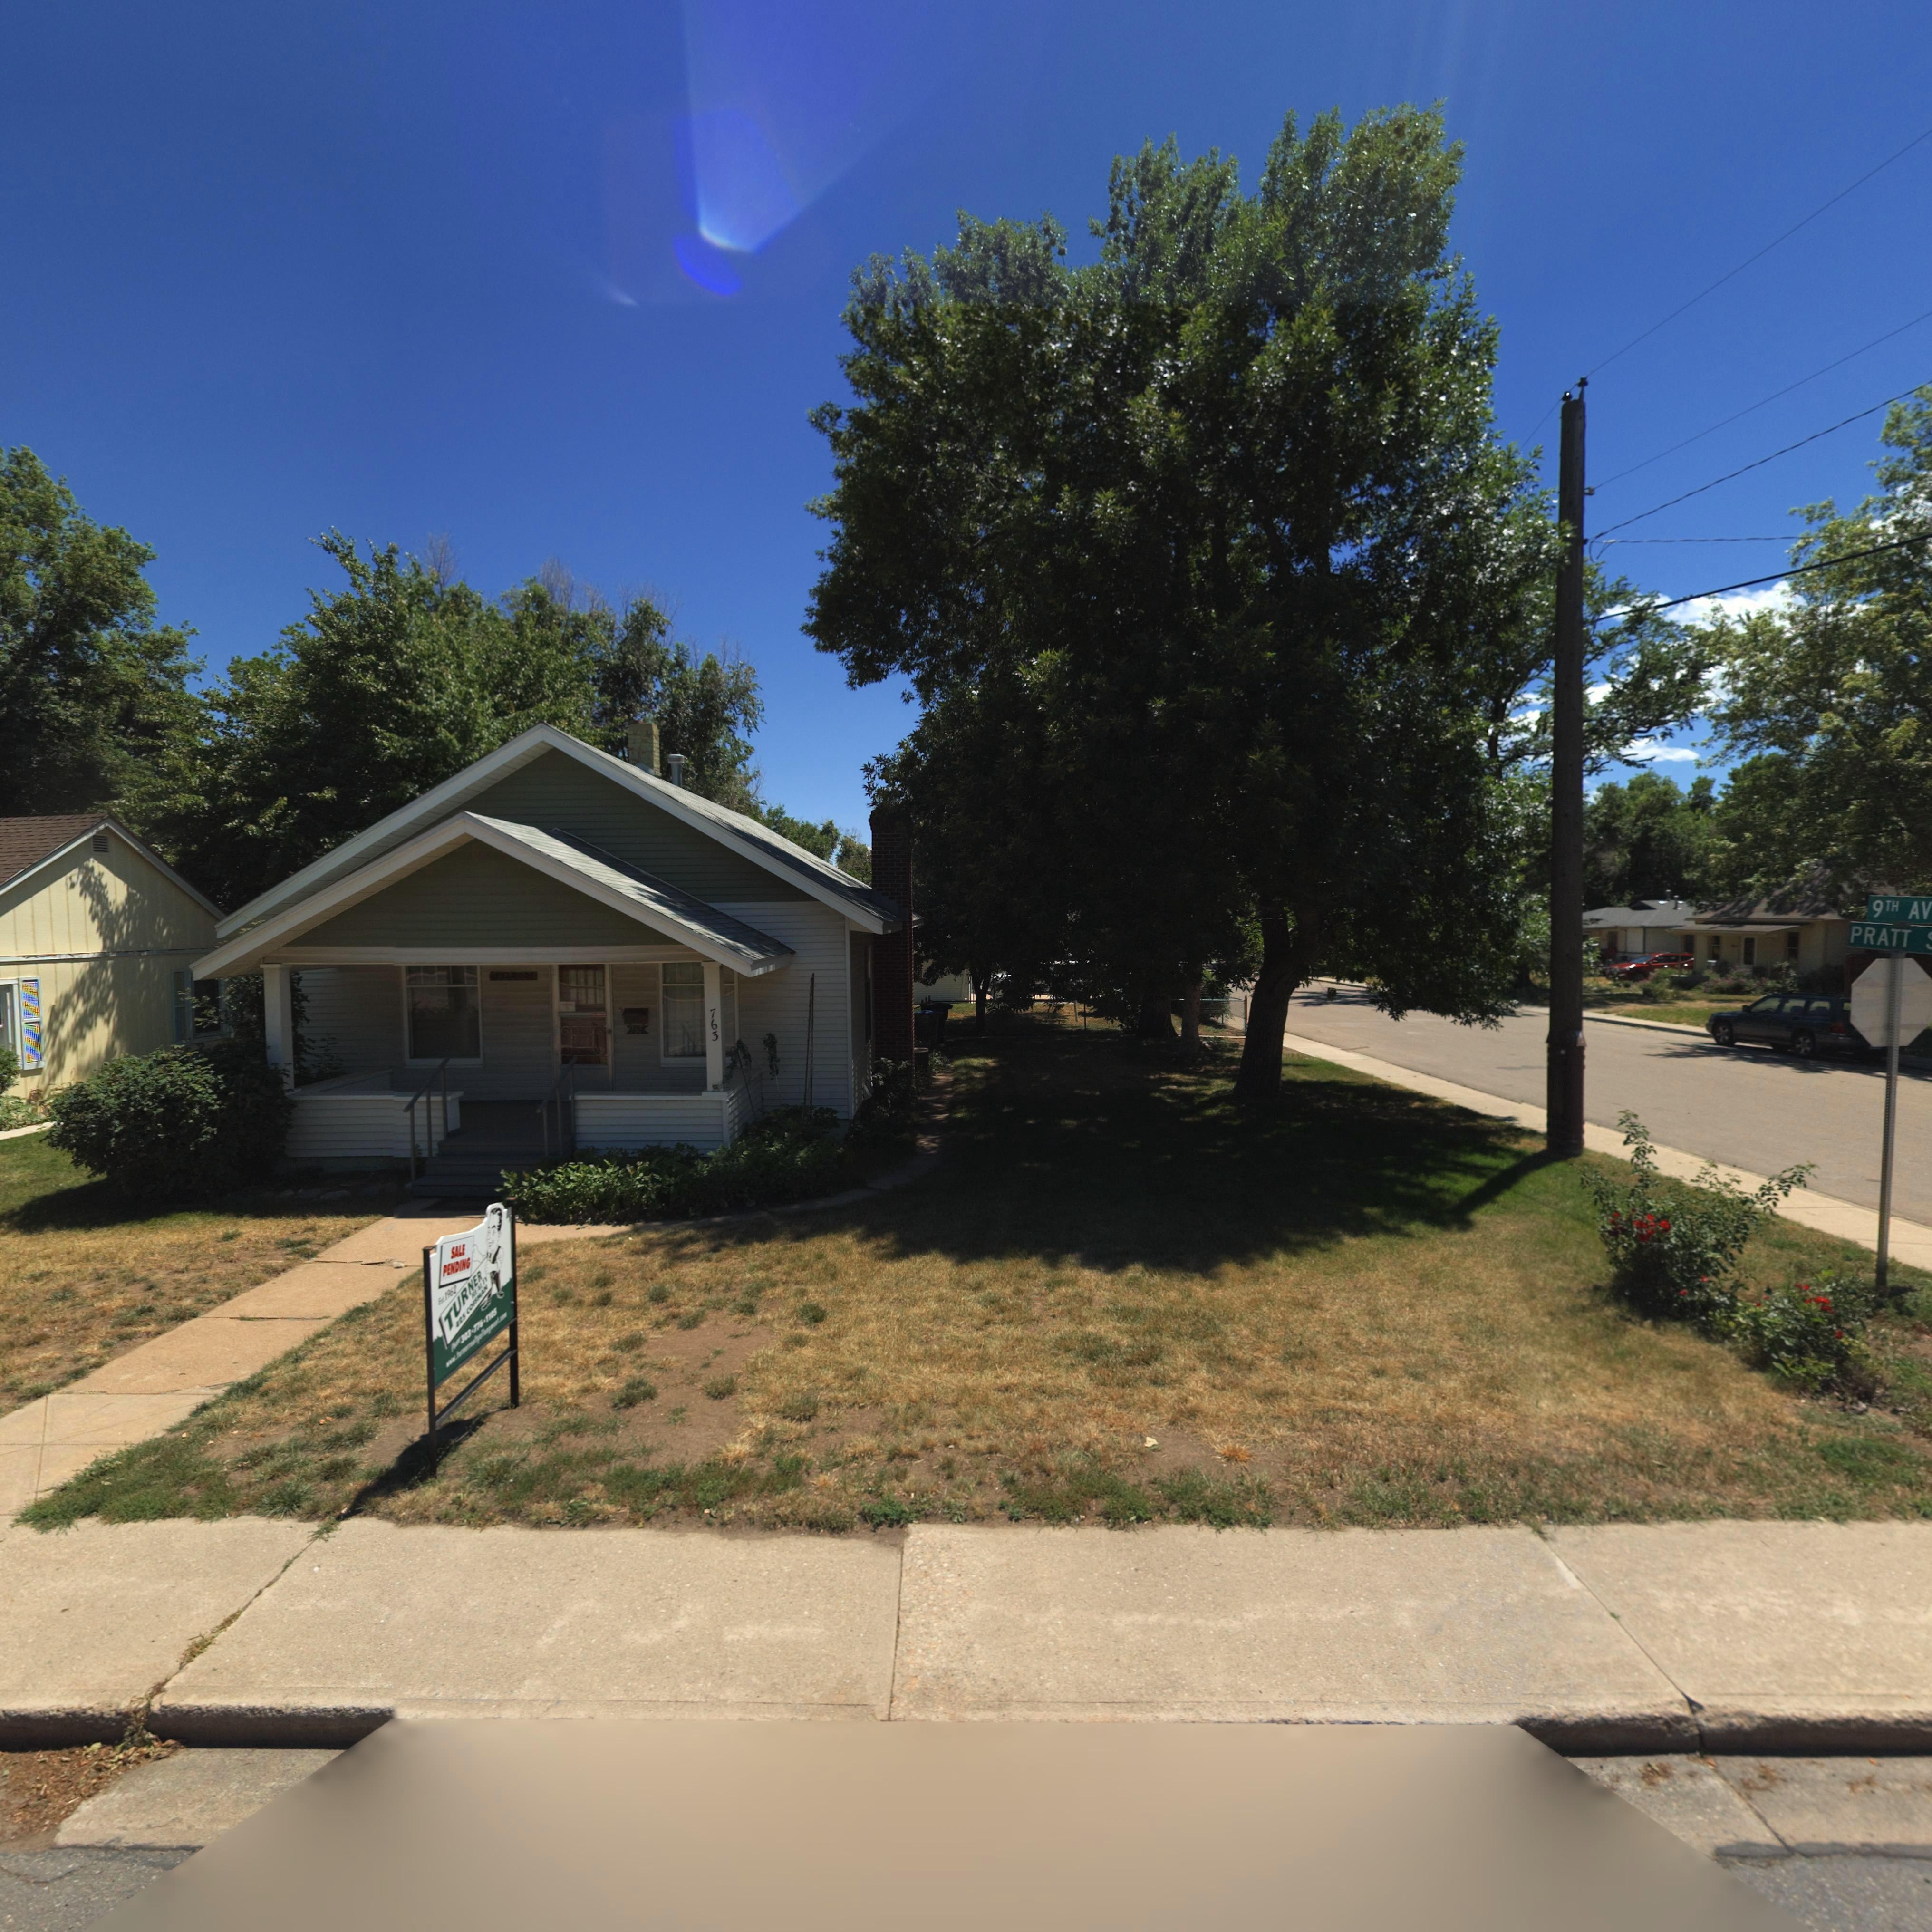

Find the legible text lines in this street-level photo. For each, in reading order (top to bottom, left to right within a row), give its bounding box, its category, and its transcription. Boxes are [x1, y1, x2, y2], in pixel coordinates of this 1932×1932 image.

[1872, 899, 1931, 920] StreetName: 9TH AV
[1849, 925, 1913, 948] StreetName: PRATT
[709, 1007, 718, 1041] StreetNumber: 763